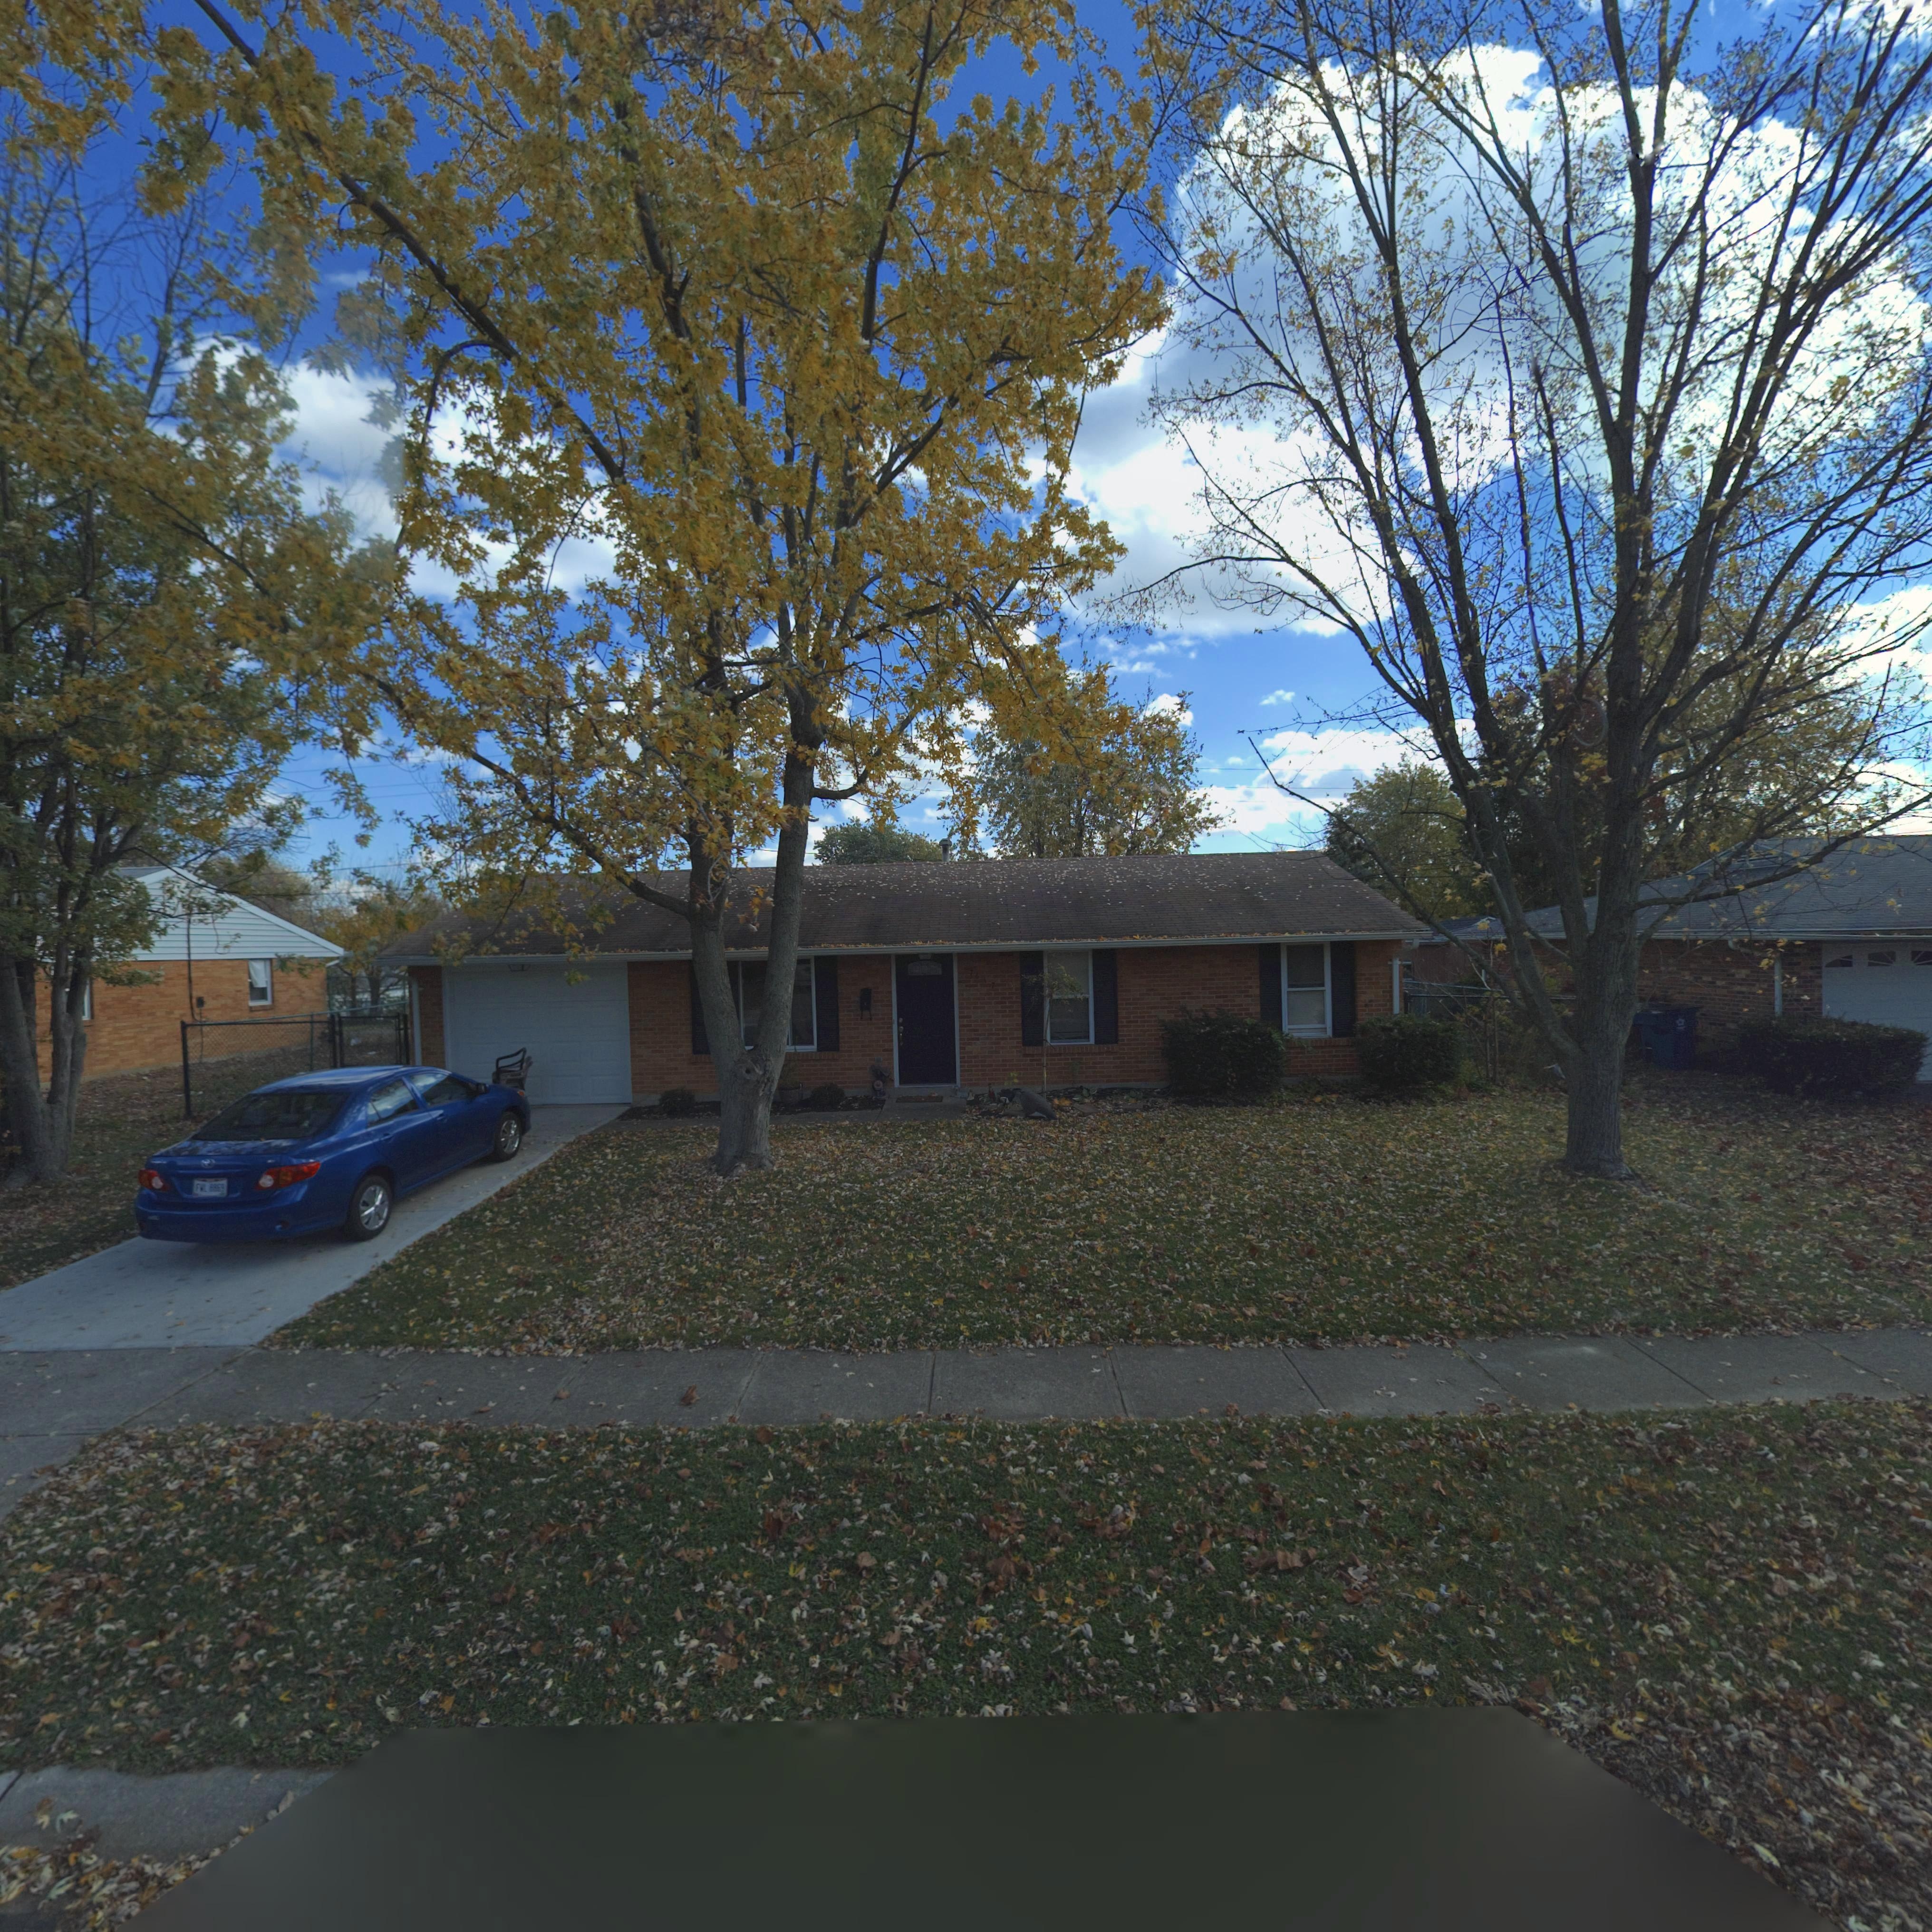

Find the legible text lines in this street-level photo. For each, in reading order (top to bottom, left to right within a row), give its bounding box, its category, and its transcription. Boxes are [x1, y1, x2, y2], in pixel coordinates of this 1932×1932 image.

[969, 969, 996, 990] StreetNumber: 7617